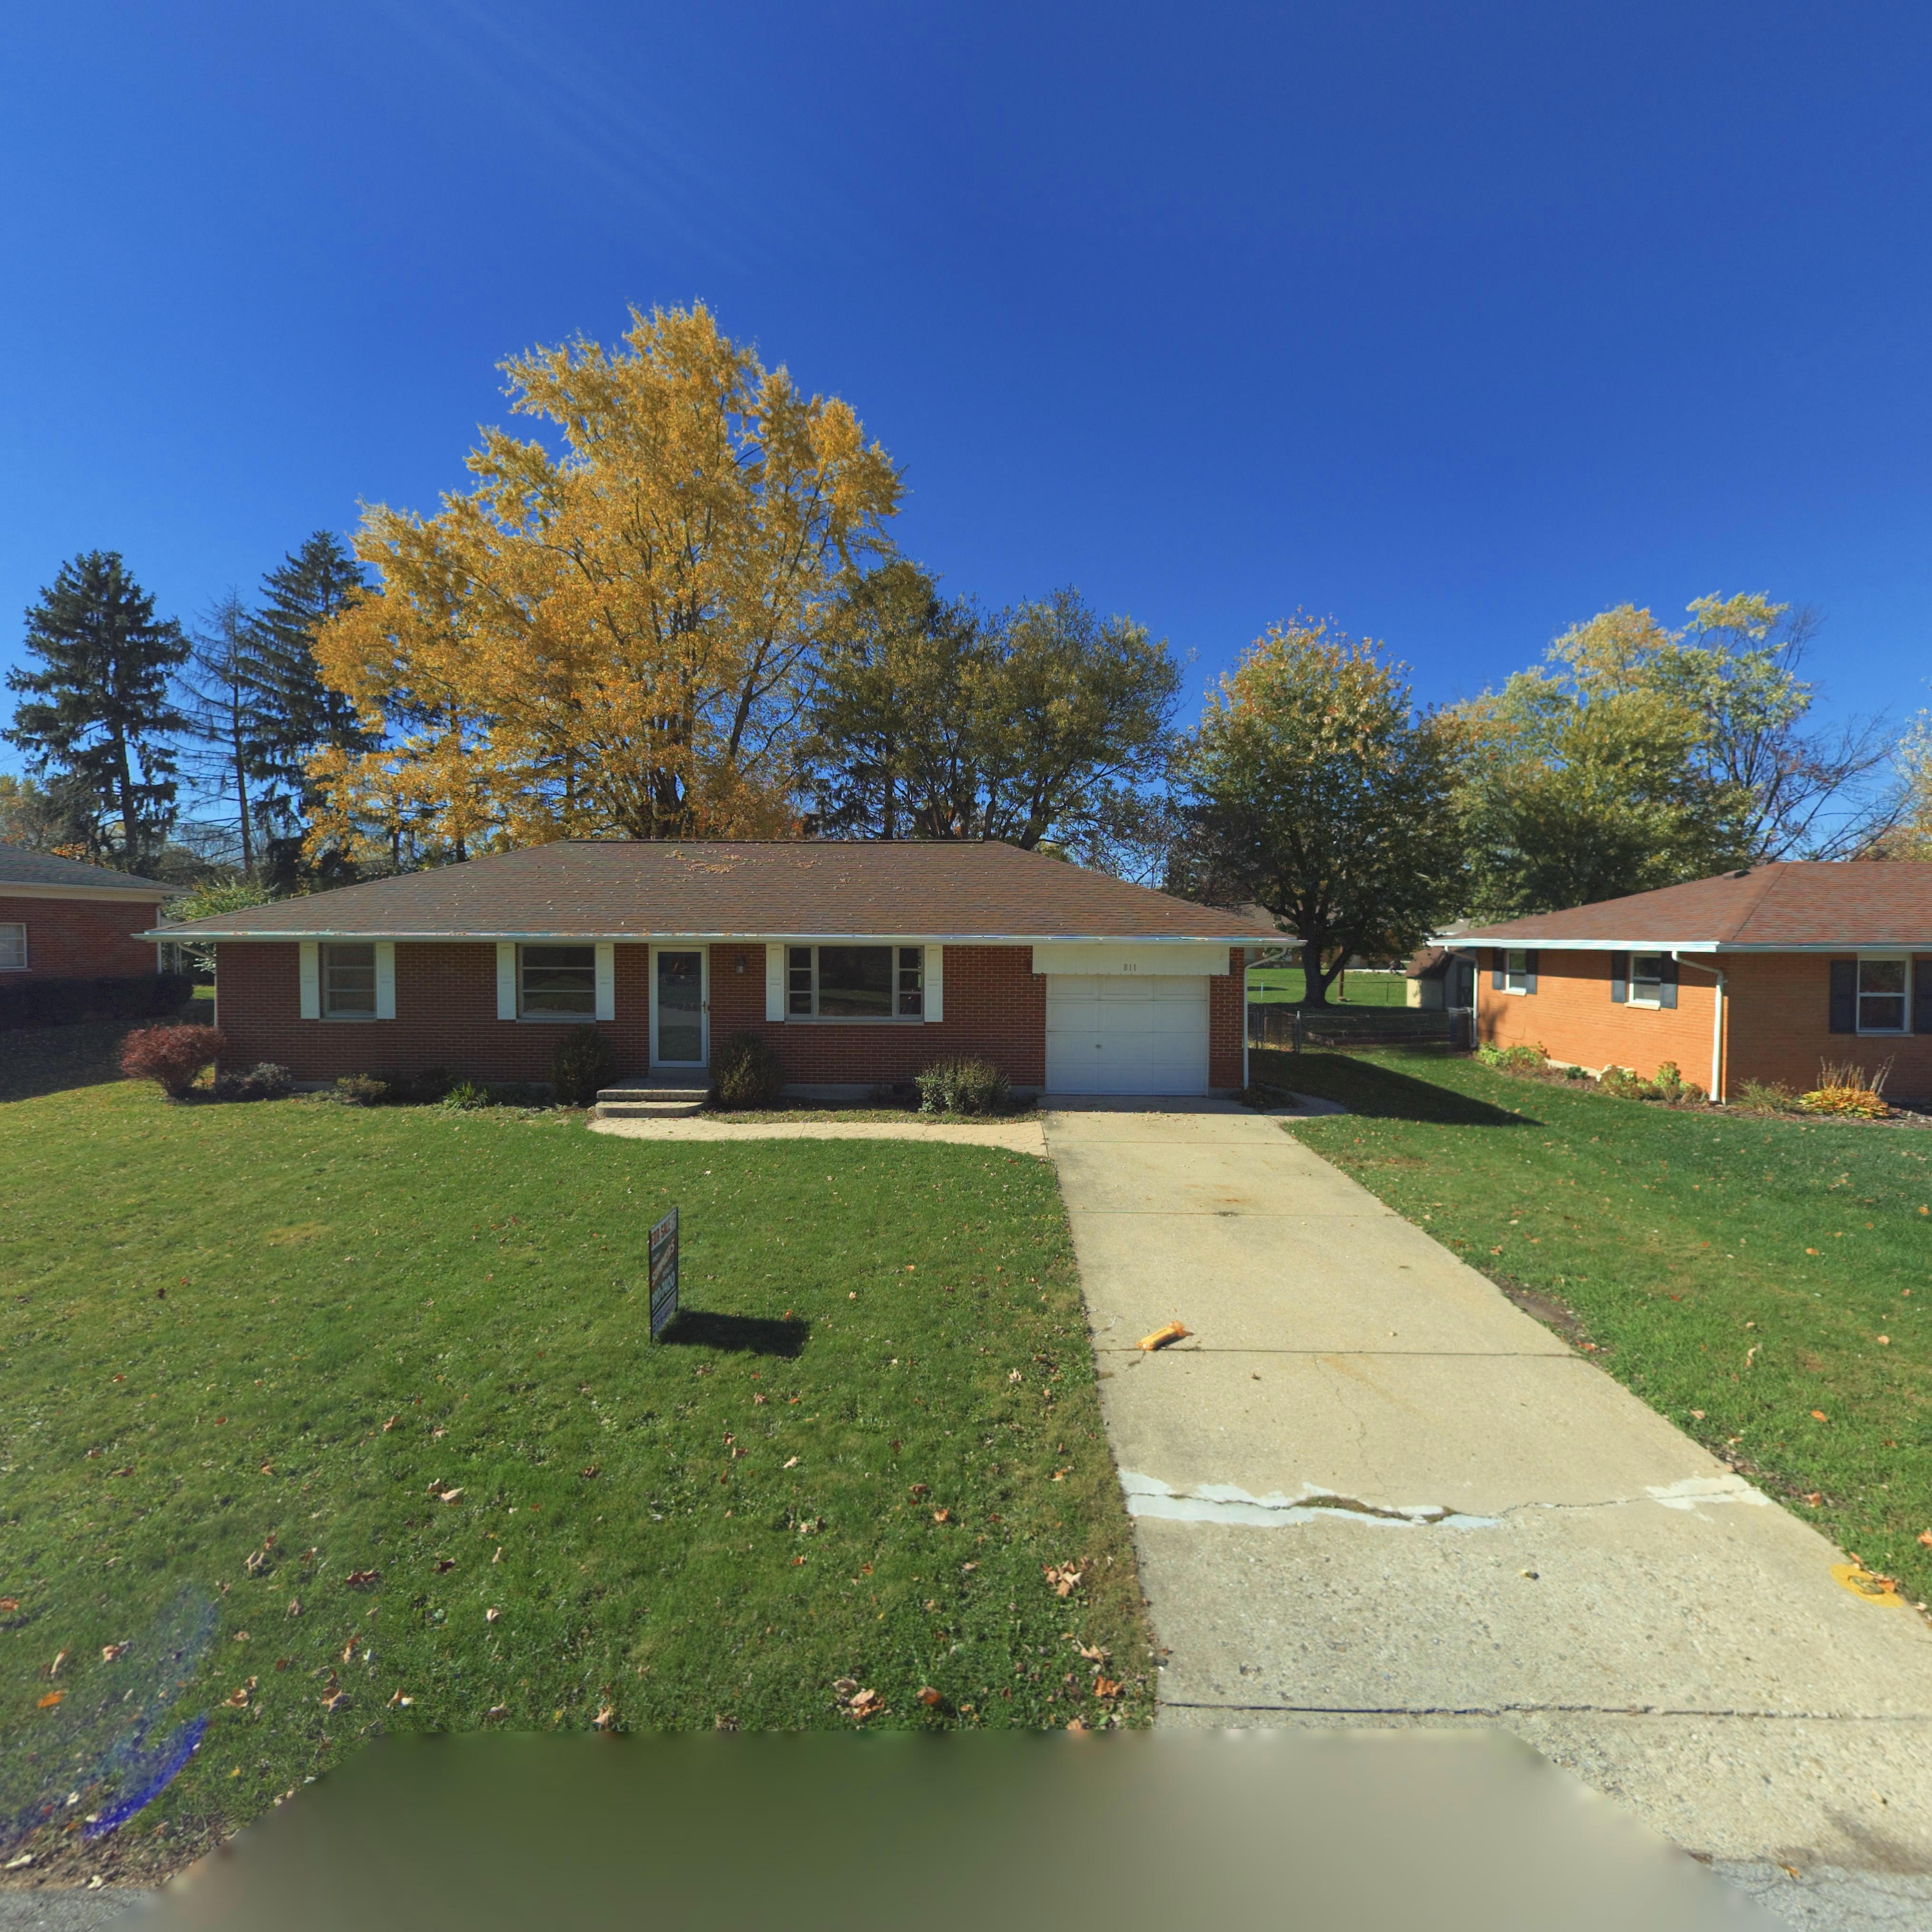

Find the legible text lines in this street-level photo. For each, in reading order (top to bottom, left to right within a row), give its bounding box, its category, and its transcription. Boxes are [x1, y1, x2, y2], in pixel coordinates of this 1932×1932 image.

[1123, 963, 1137, 972] StreetNumber: 811